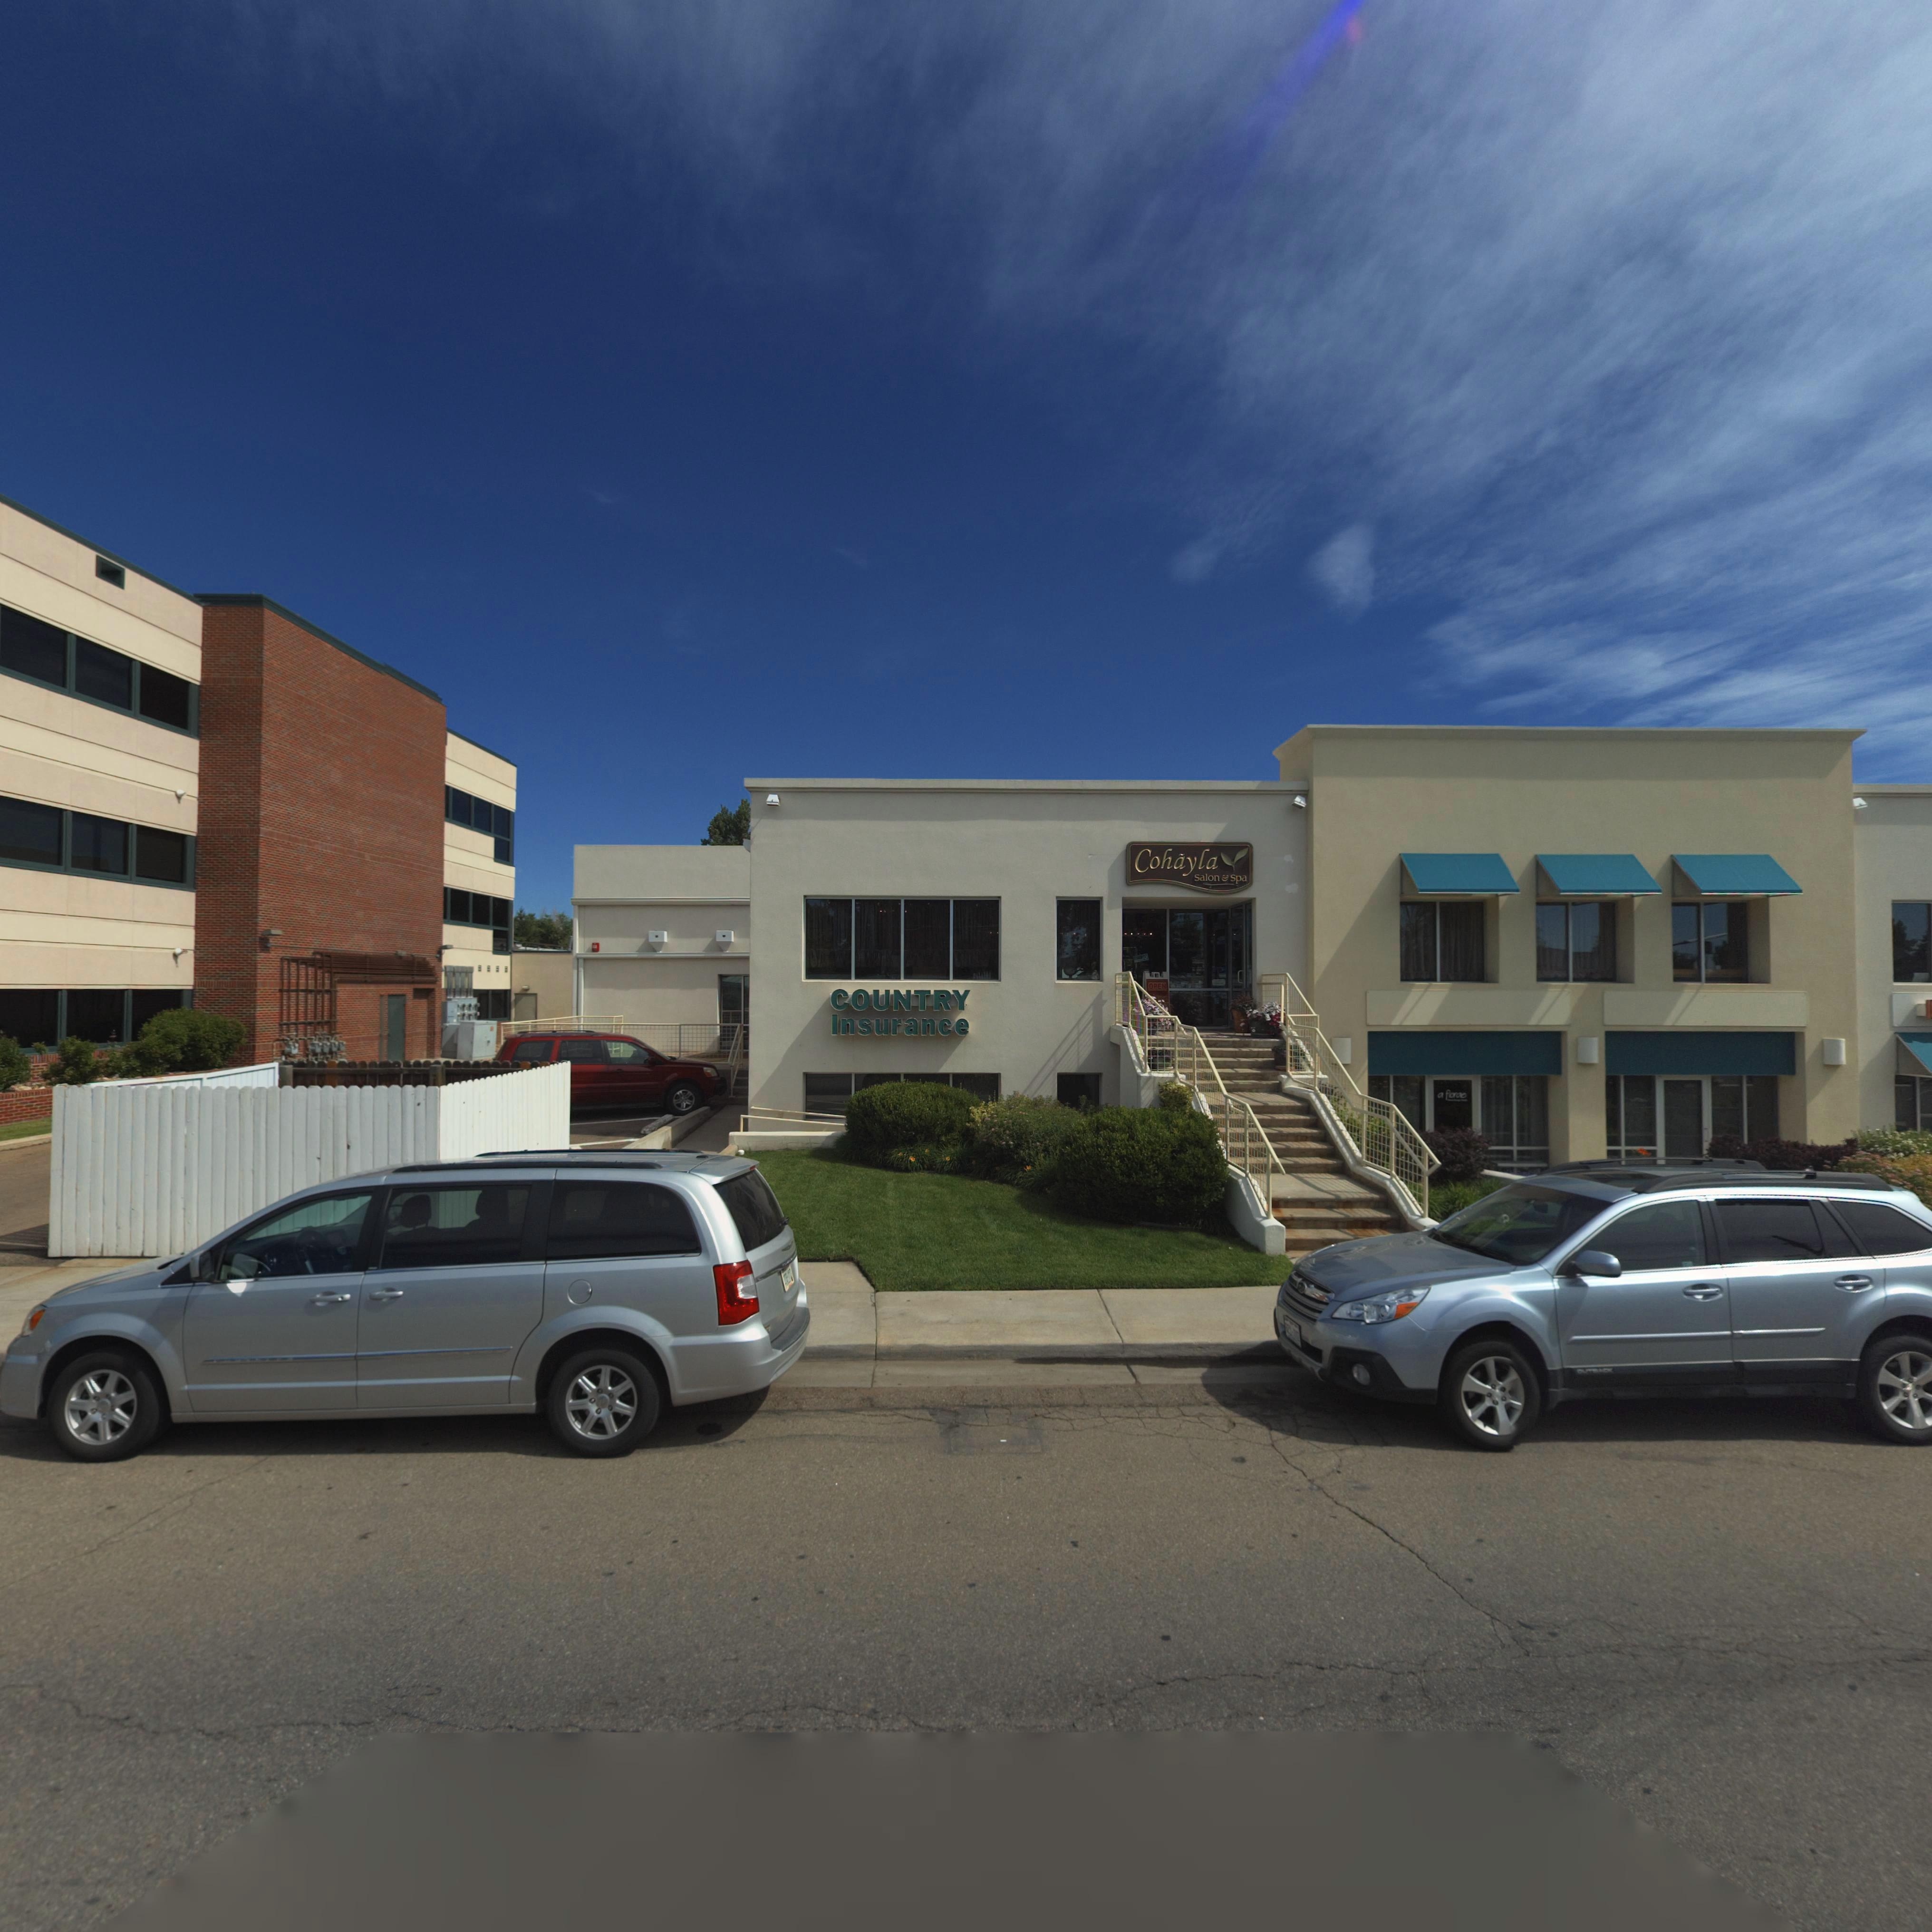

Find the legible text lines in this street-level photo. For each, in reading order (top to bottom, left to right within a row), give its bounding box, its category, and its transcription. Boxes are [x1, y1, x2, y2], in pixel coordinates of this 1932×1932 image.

[1133, 847, 1219, 877] BusinessName: Cohayla
[1193, 873, 1247, 884] BusinessName: Salon & Spa
[829, 988, 972, 1011] StreetName: COUNTRY
[831, 1013, 971, 1037] BusinessName: Insurance
[1437, 1089, 1467, 1101] BusinessName: a f**oe